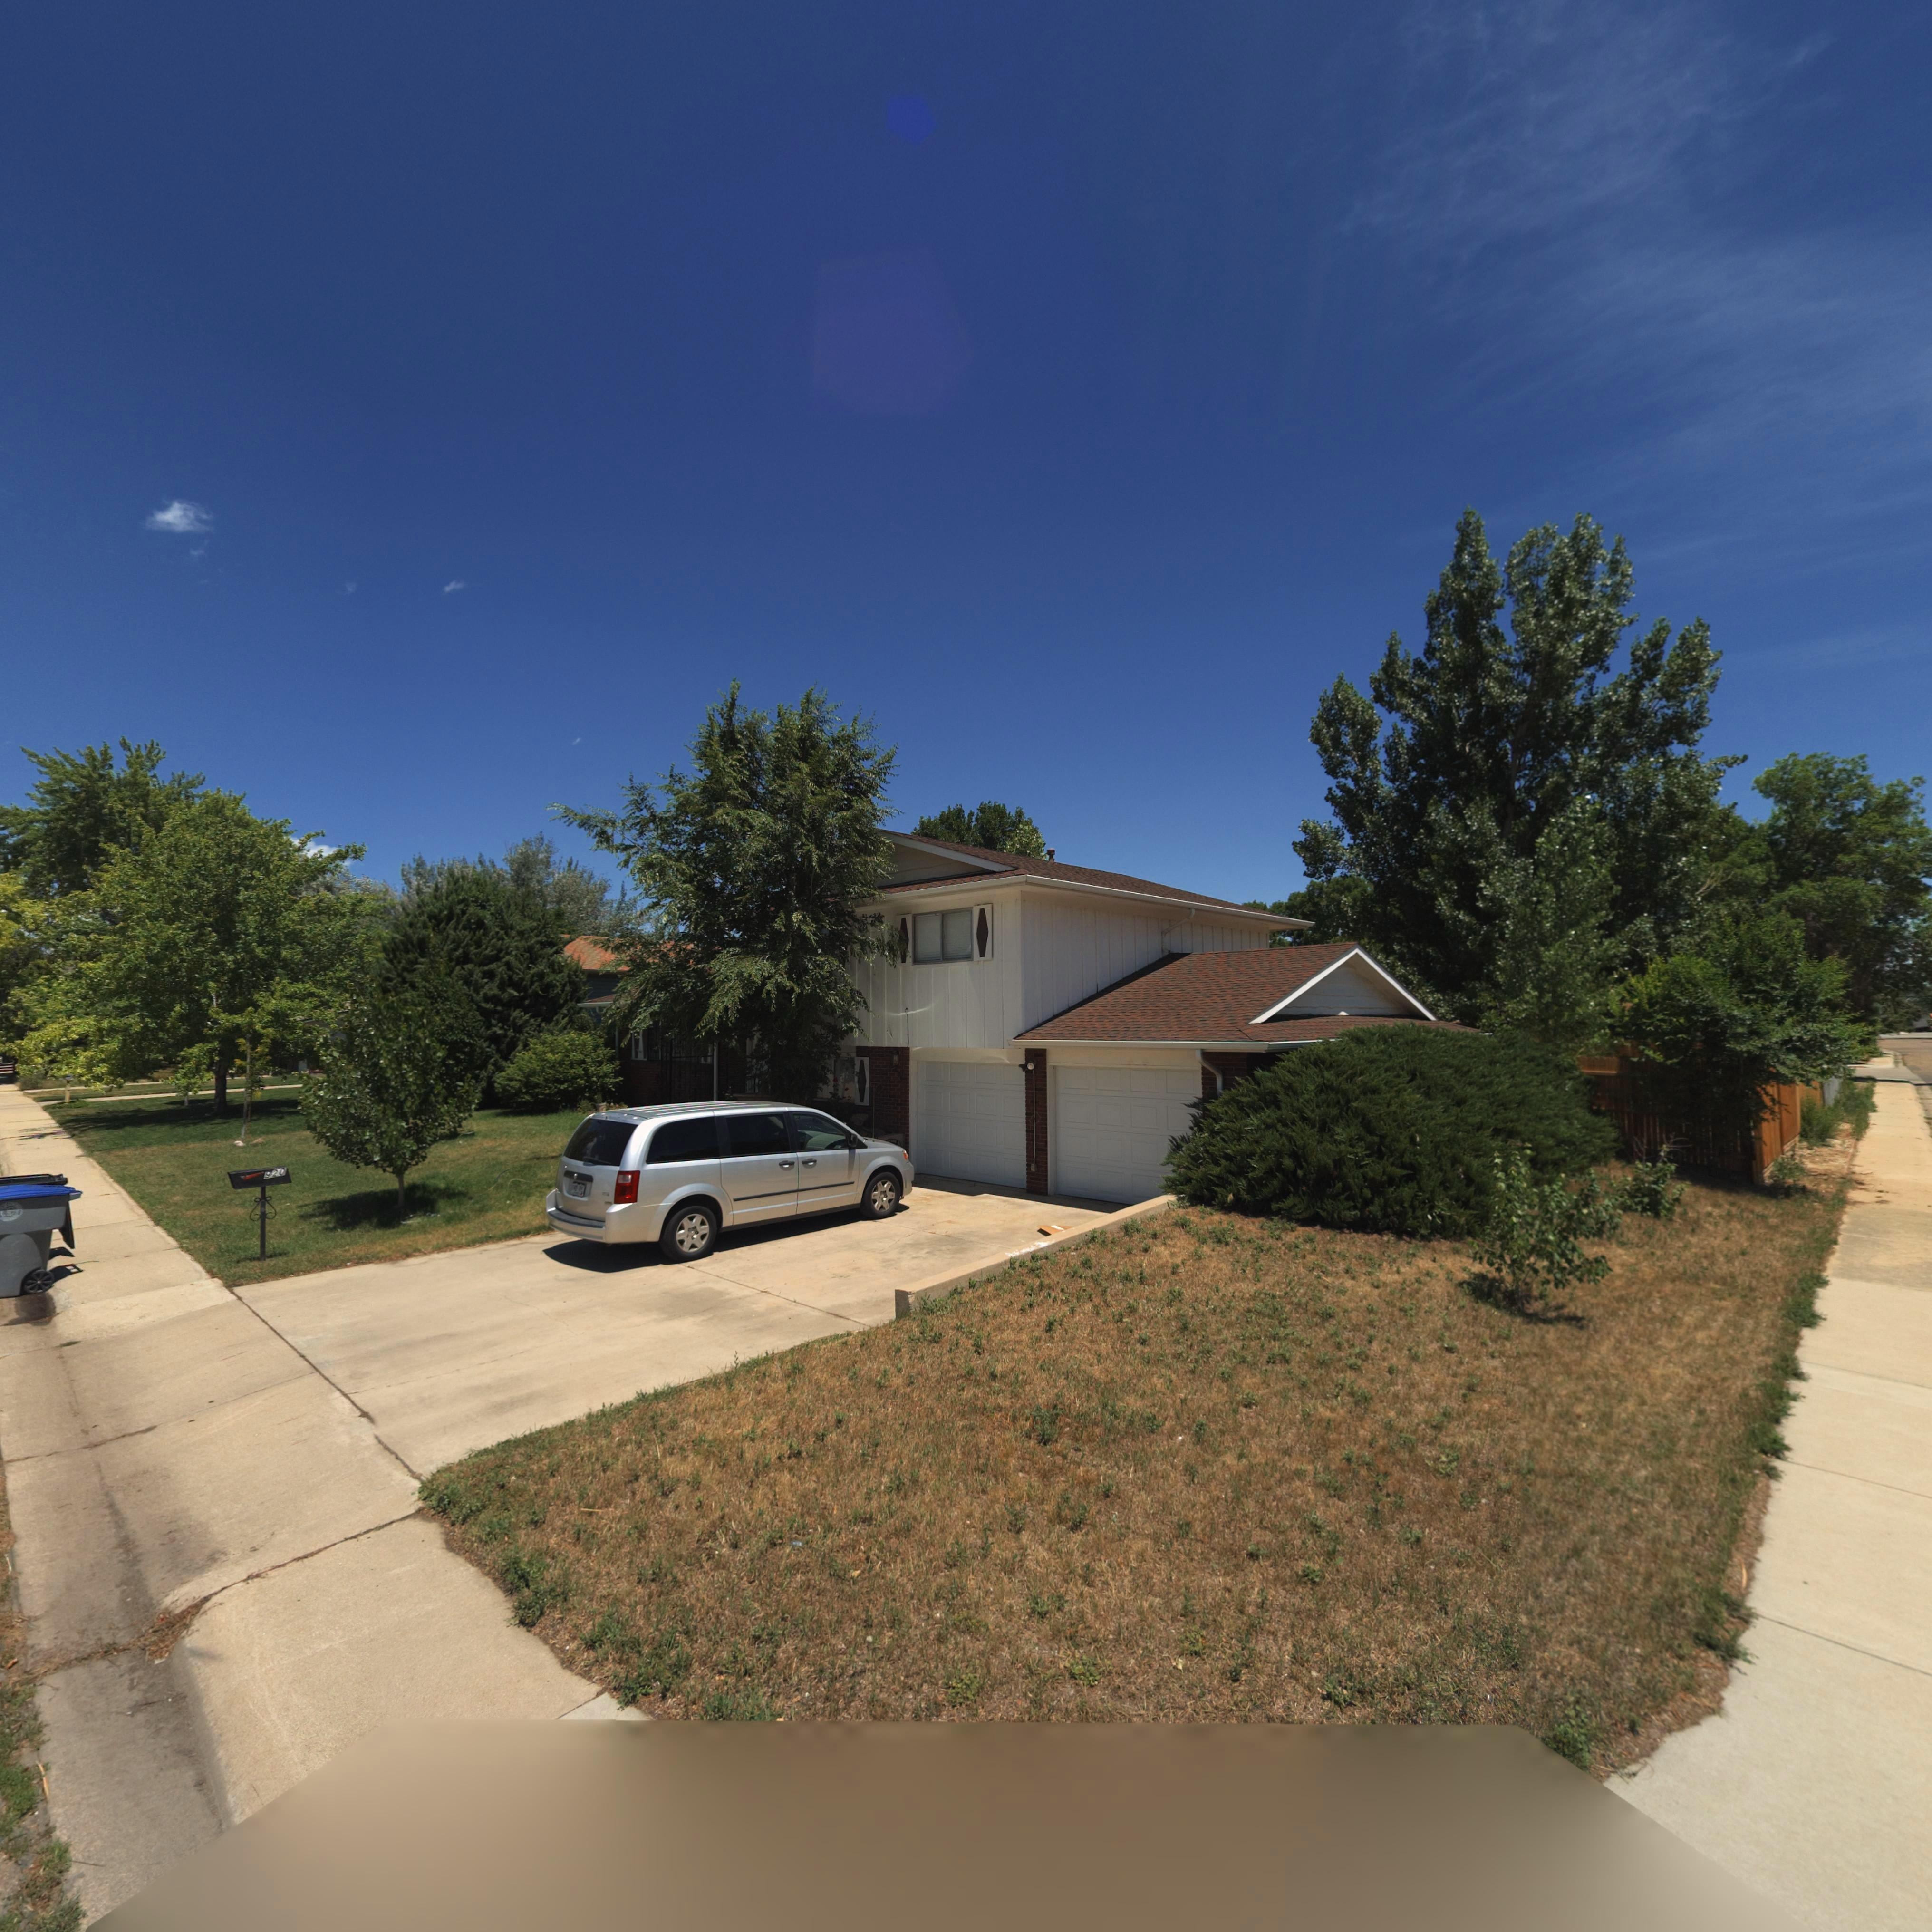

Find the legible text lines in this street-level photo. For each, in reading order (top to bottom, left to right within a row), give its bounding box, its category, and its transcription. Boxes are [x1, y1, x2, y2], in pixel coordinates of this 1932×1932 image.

[264, 1167, 286, 1179] StreetNumber: 920